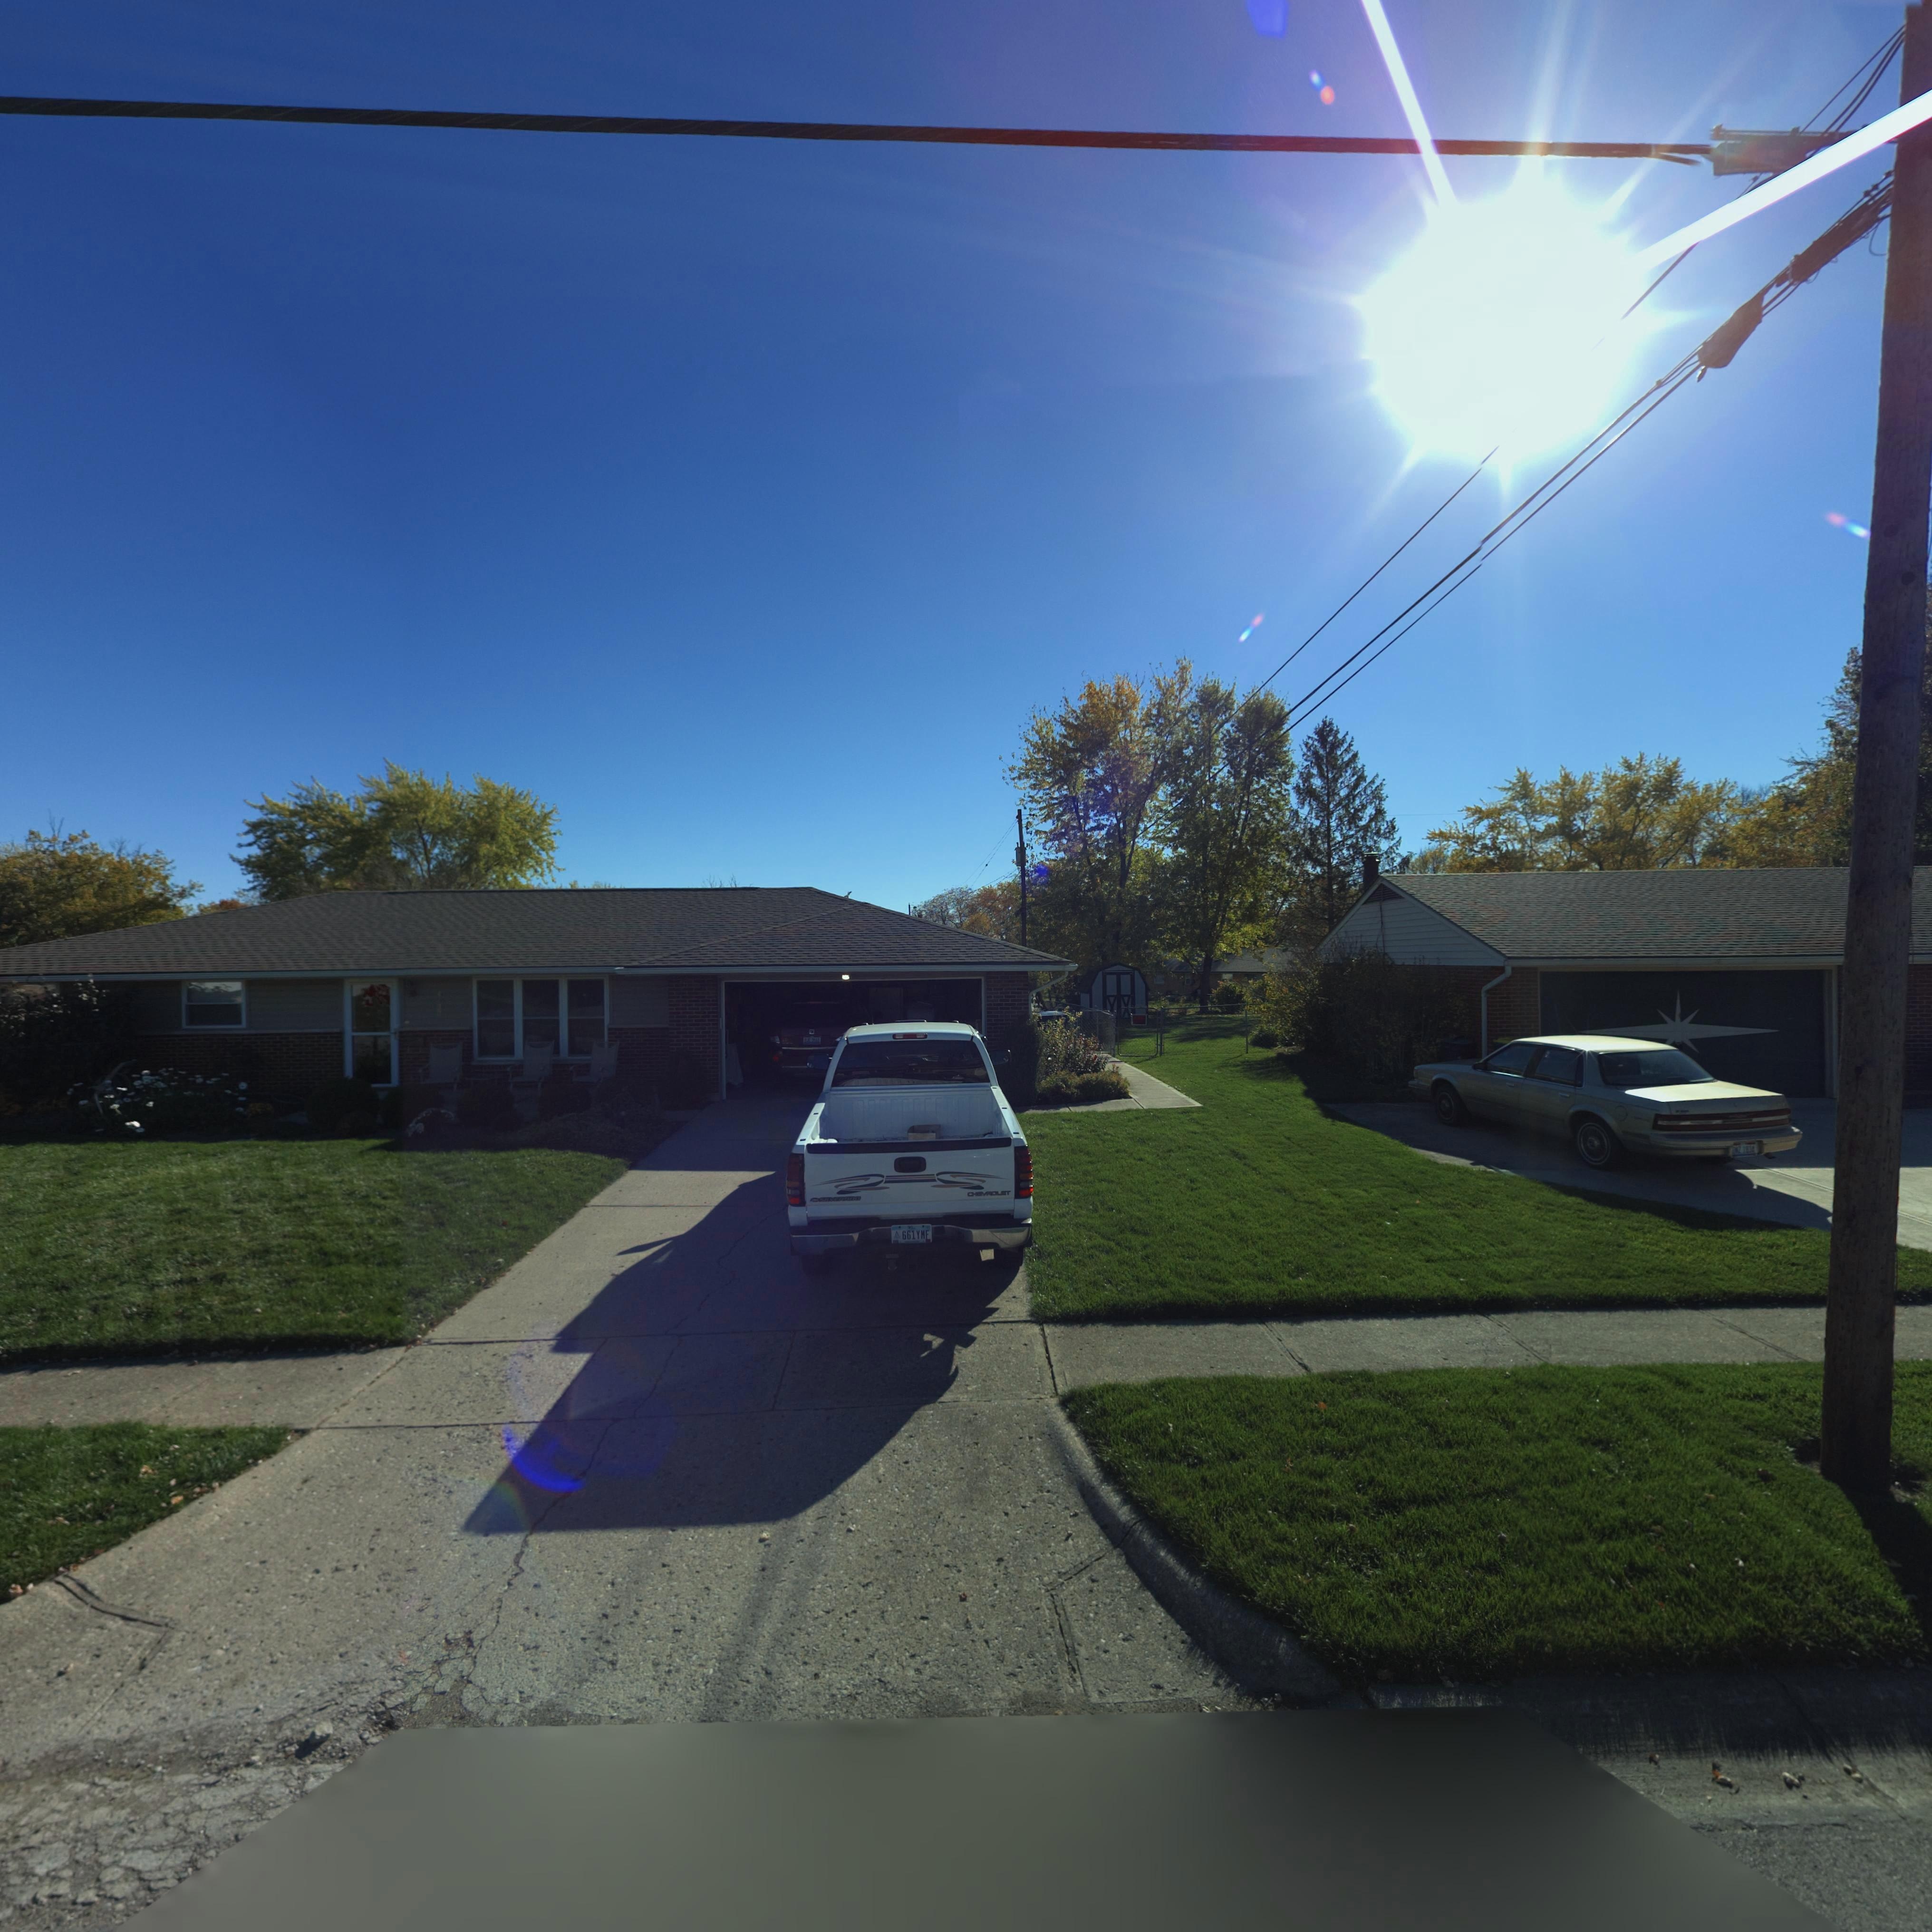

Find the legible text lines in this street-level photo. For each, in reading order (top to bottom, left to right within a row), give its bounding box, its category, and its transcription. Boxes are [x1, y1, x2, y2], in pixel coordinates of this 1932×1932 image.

[435, 990, 442, 1019] StreetNumber: 4*0*